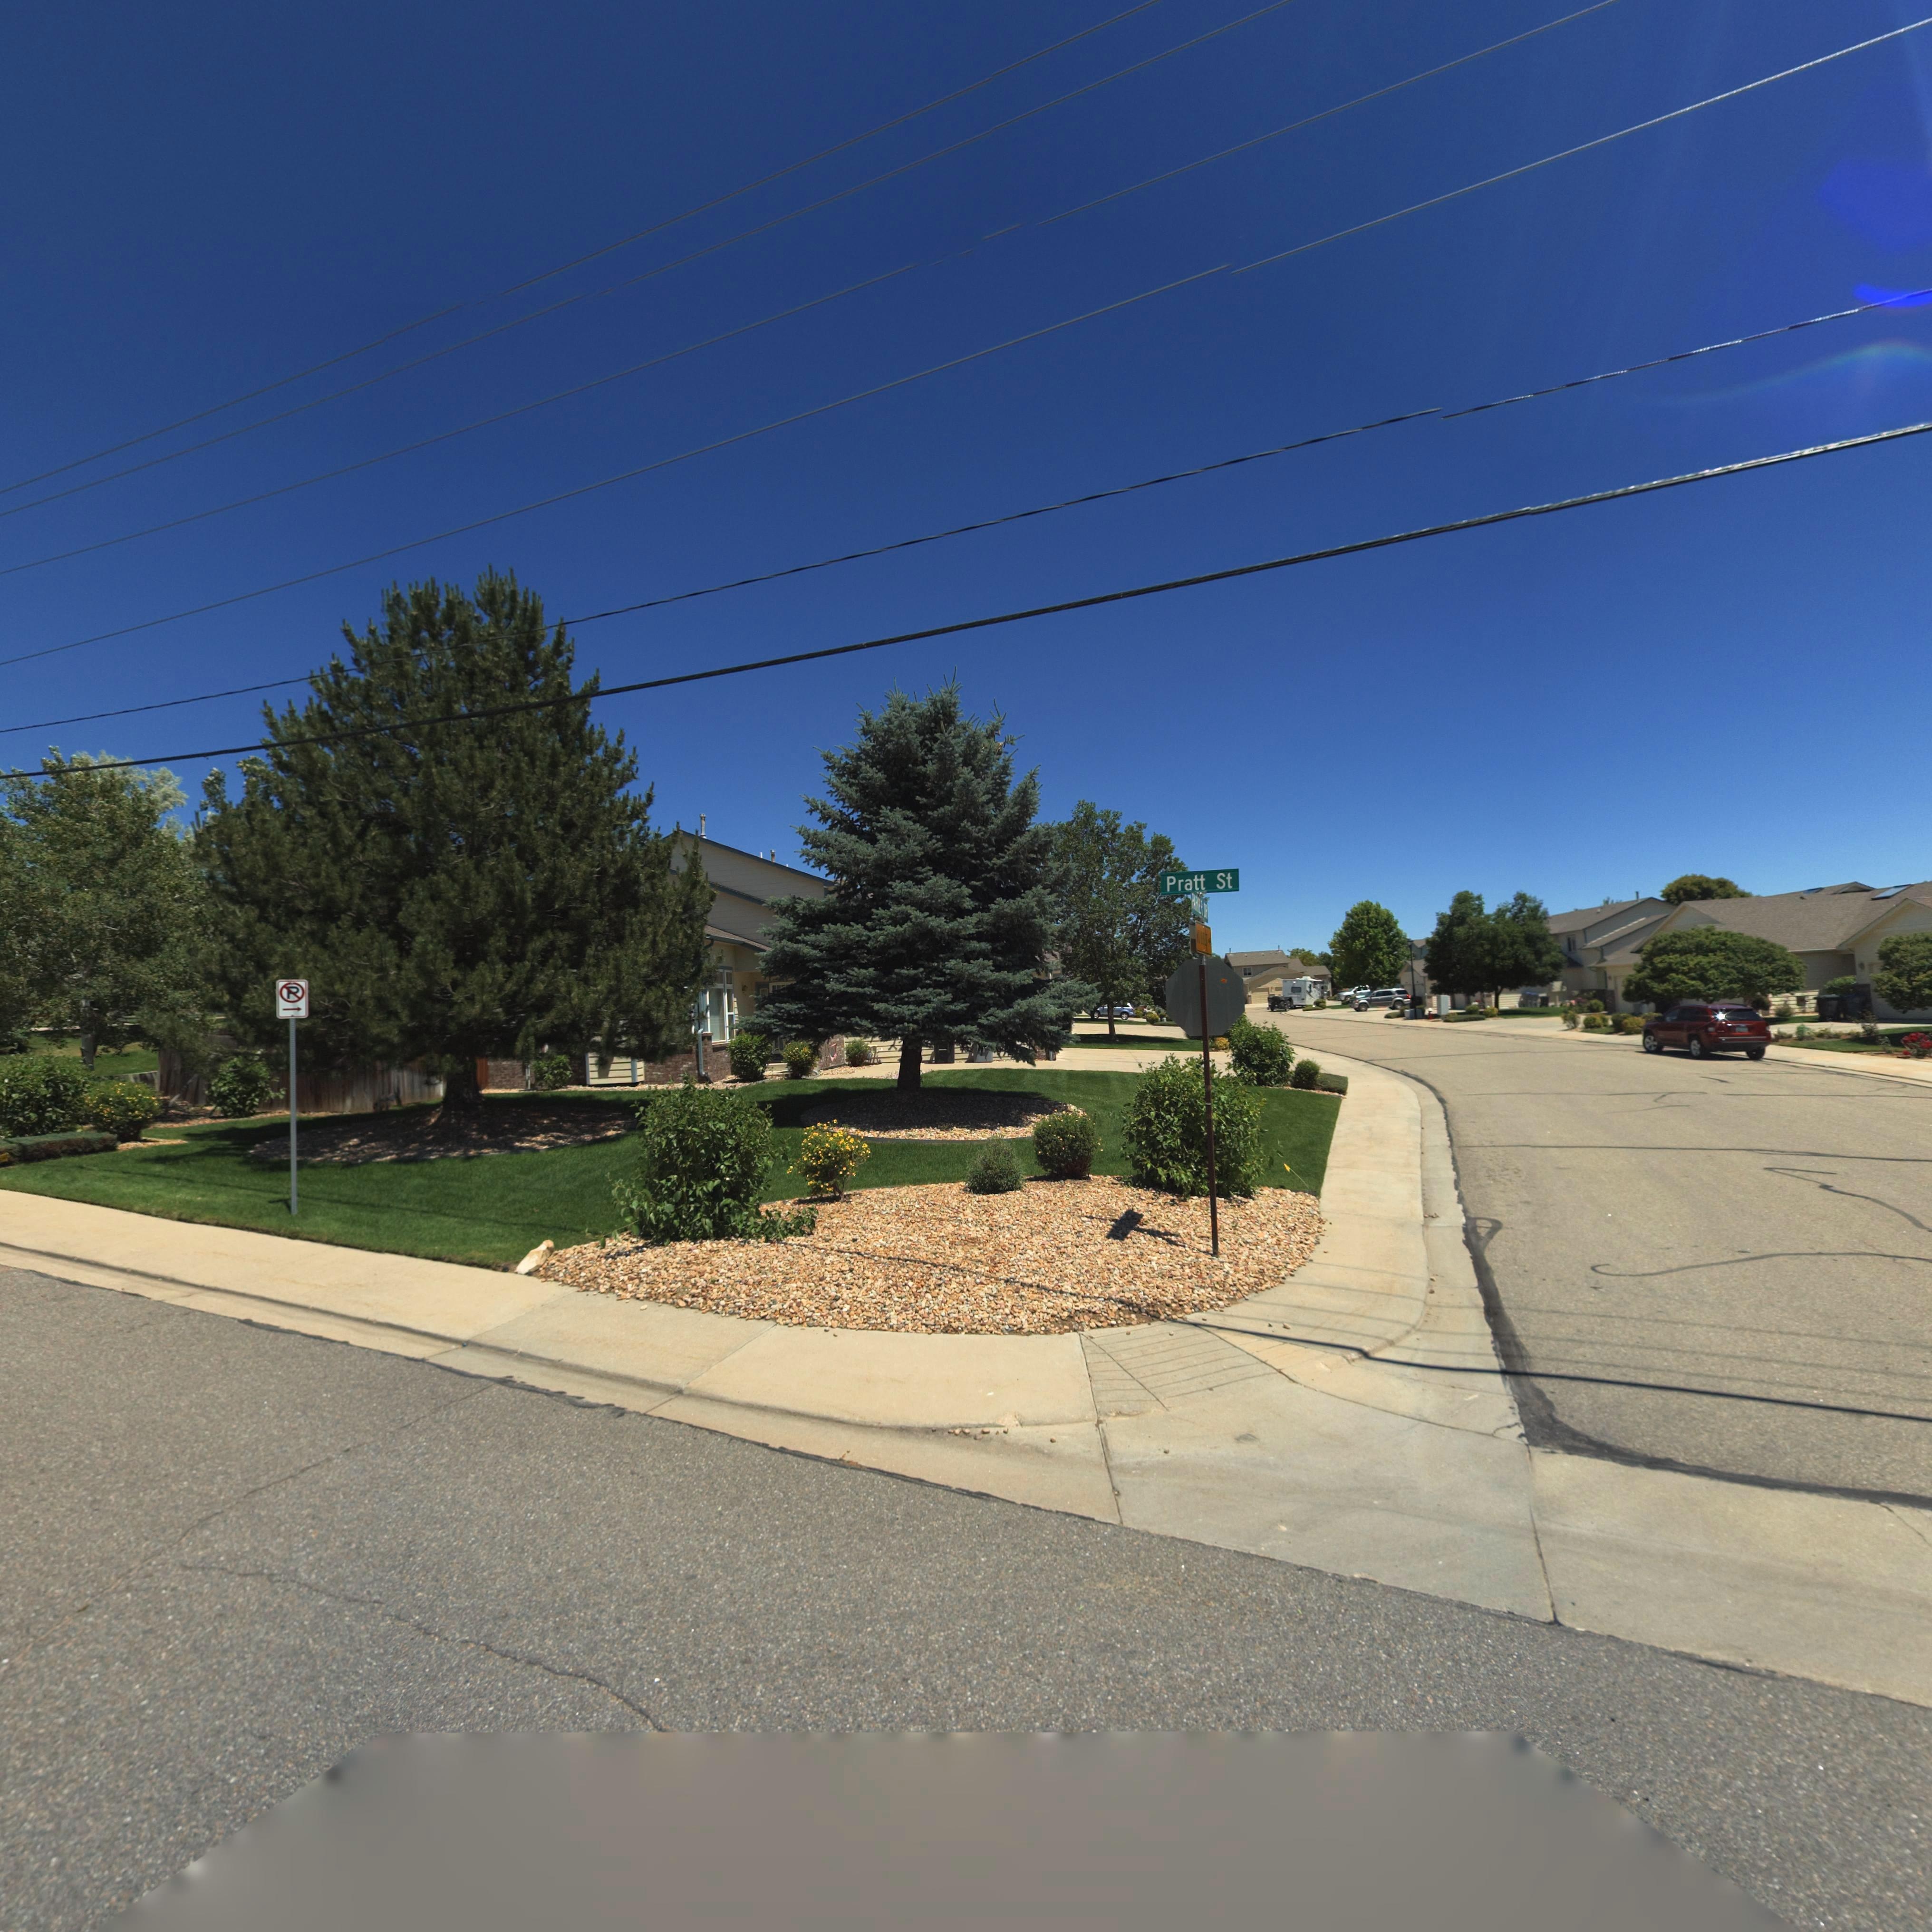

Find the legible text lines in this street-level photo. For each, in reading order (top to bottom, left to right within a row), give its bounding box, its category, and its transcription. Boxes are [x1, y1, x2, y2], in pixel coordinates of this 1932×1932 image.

[1166, 872, 1234, 892] StreetName: Pratt St
[1191, 891, 1207, 919] StreetName: PA**ER **